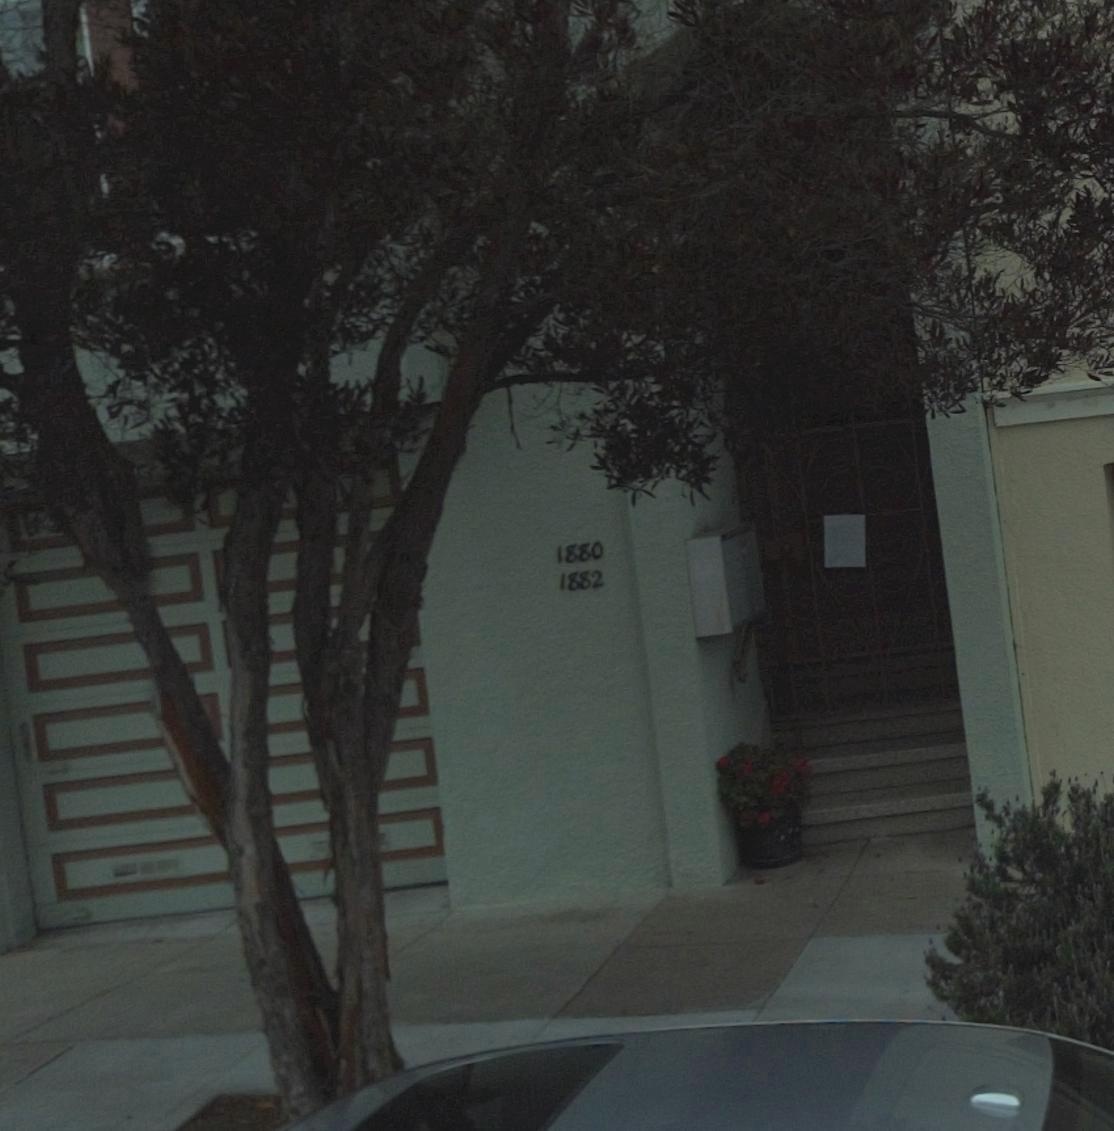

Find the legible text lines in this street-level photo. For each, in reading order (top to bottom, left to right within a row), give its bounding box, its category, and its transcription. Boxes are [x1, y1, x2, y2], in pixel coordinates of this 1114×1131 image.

[556, 537, 606, 568] StreetNumber: 1880
[557, 566, 606, 595] StreetNumber: 1882